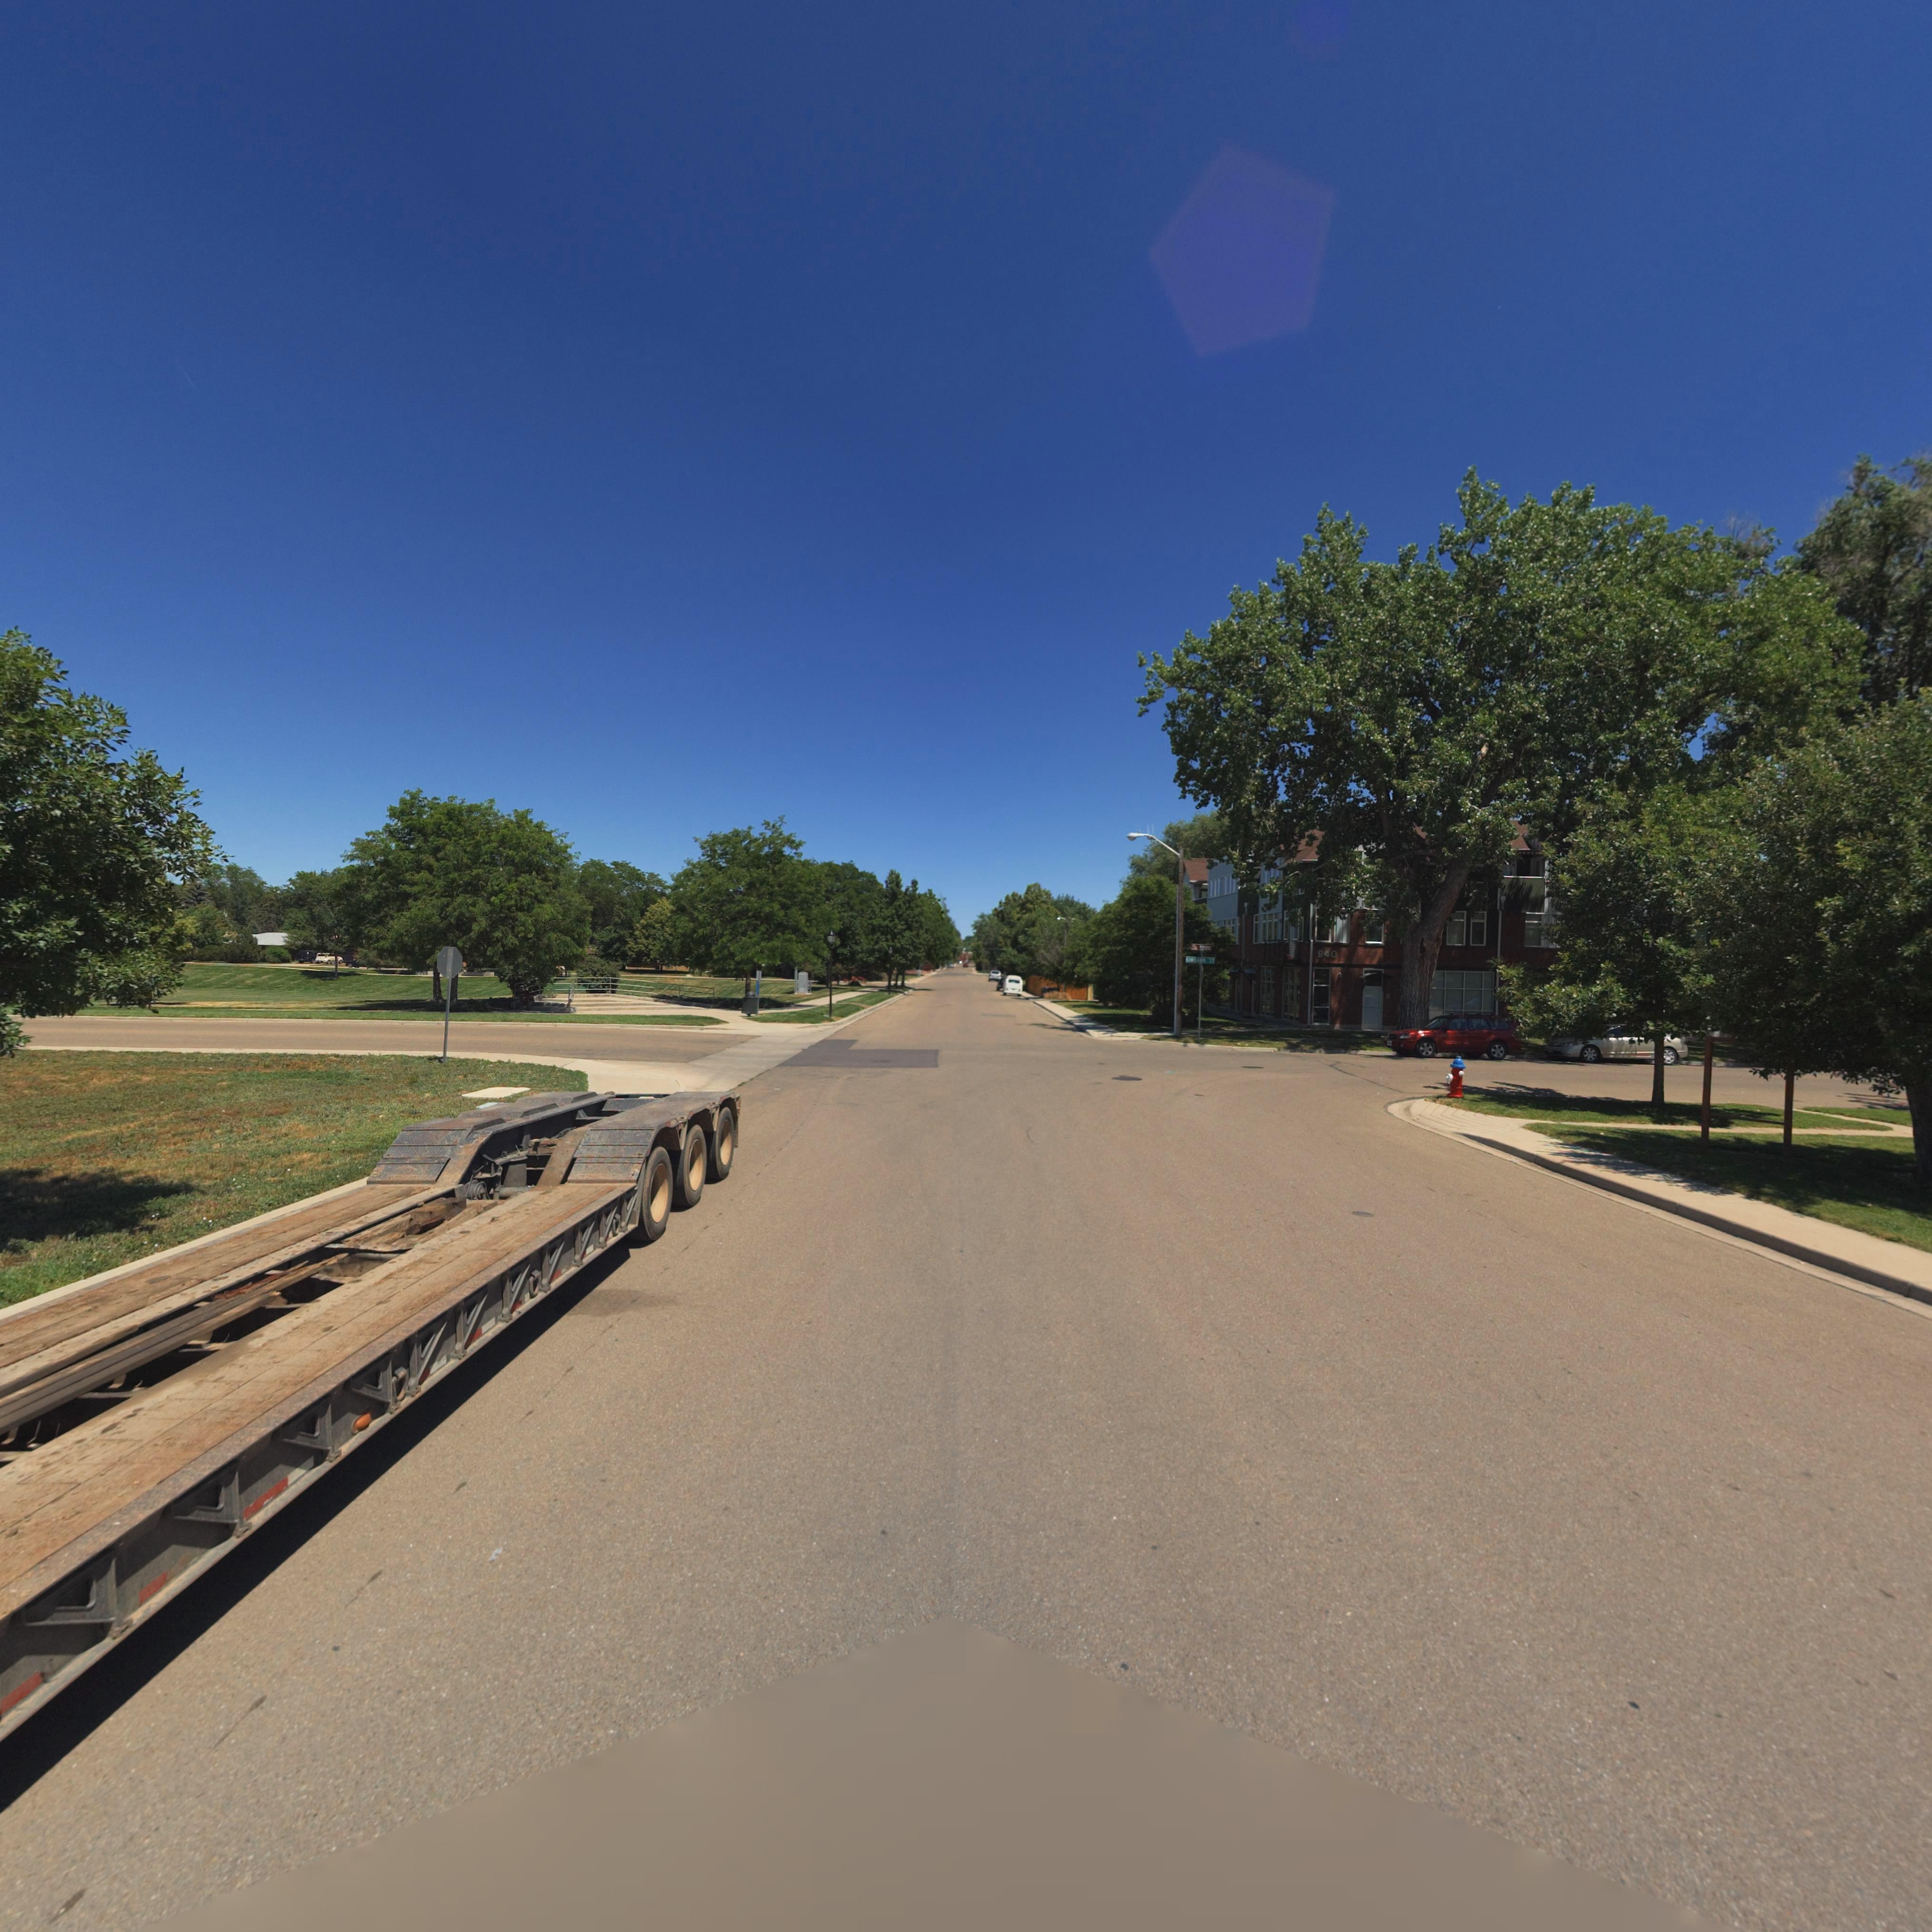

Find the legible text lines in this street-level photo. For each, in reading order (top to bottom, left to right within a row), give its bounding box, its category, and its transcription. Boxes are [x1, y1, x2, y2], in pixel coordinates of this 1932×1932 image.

[1317, 949, 1337, 958] StreetNumber: 940
[1186, 957, 1215, 963] StreetName: *IM*ARK S*
[1386, 993, 1390, 998] StreetNumber: 3